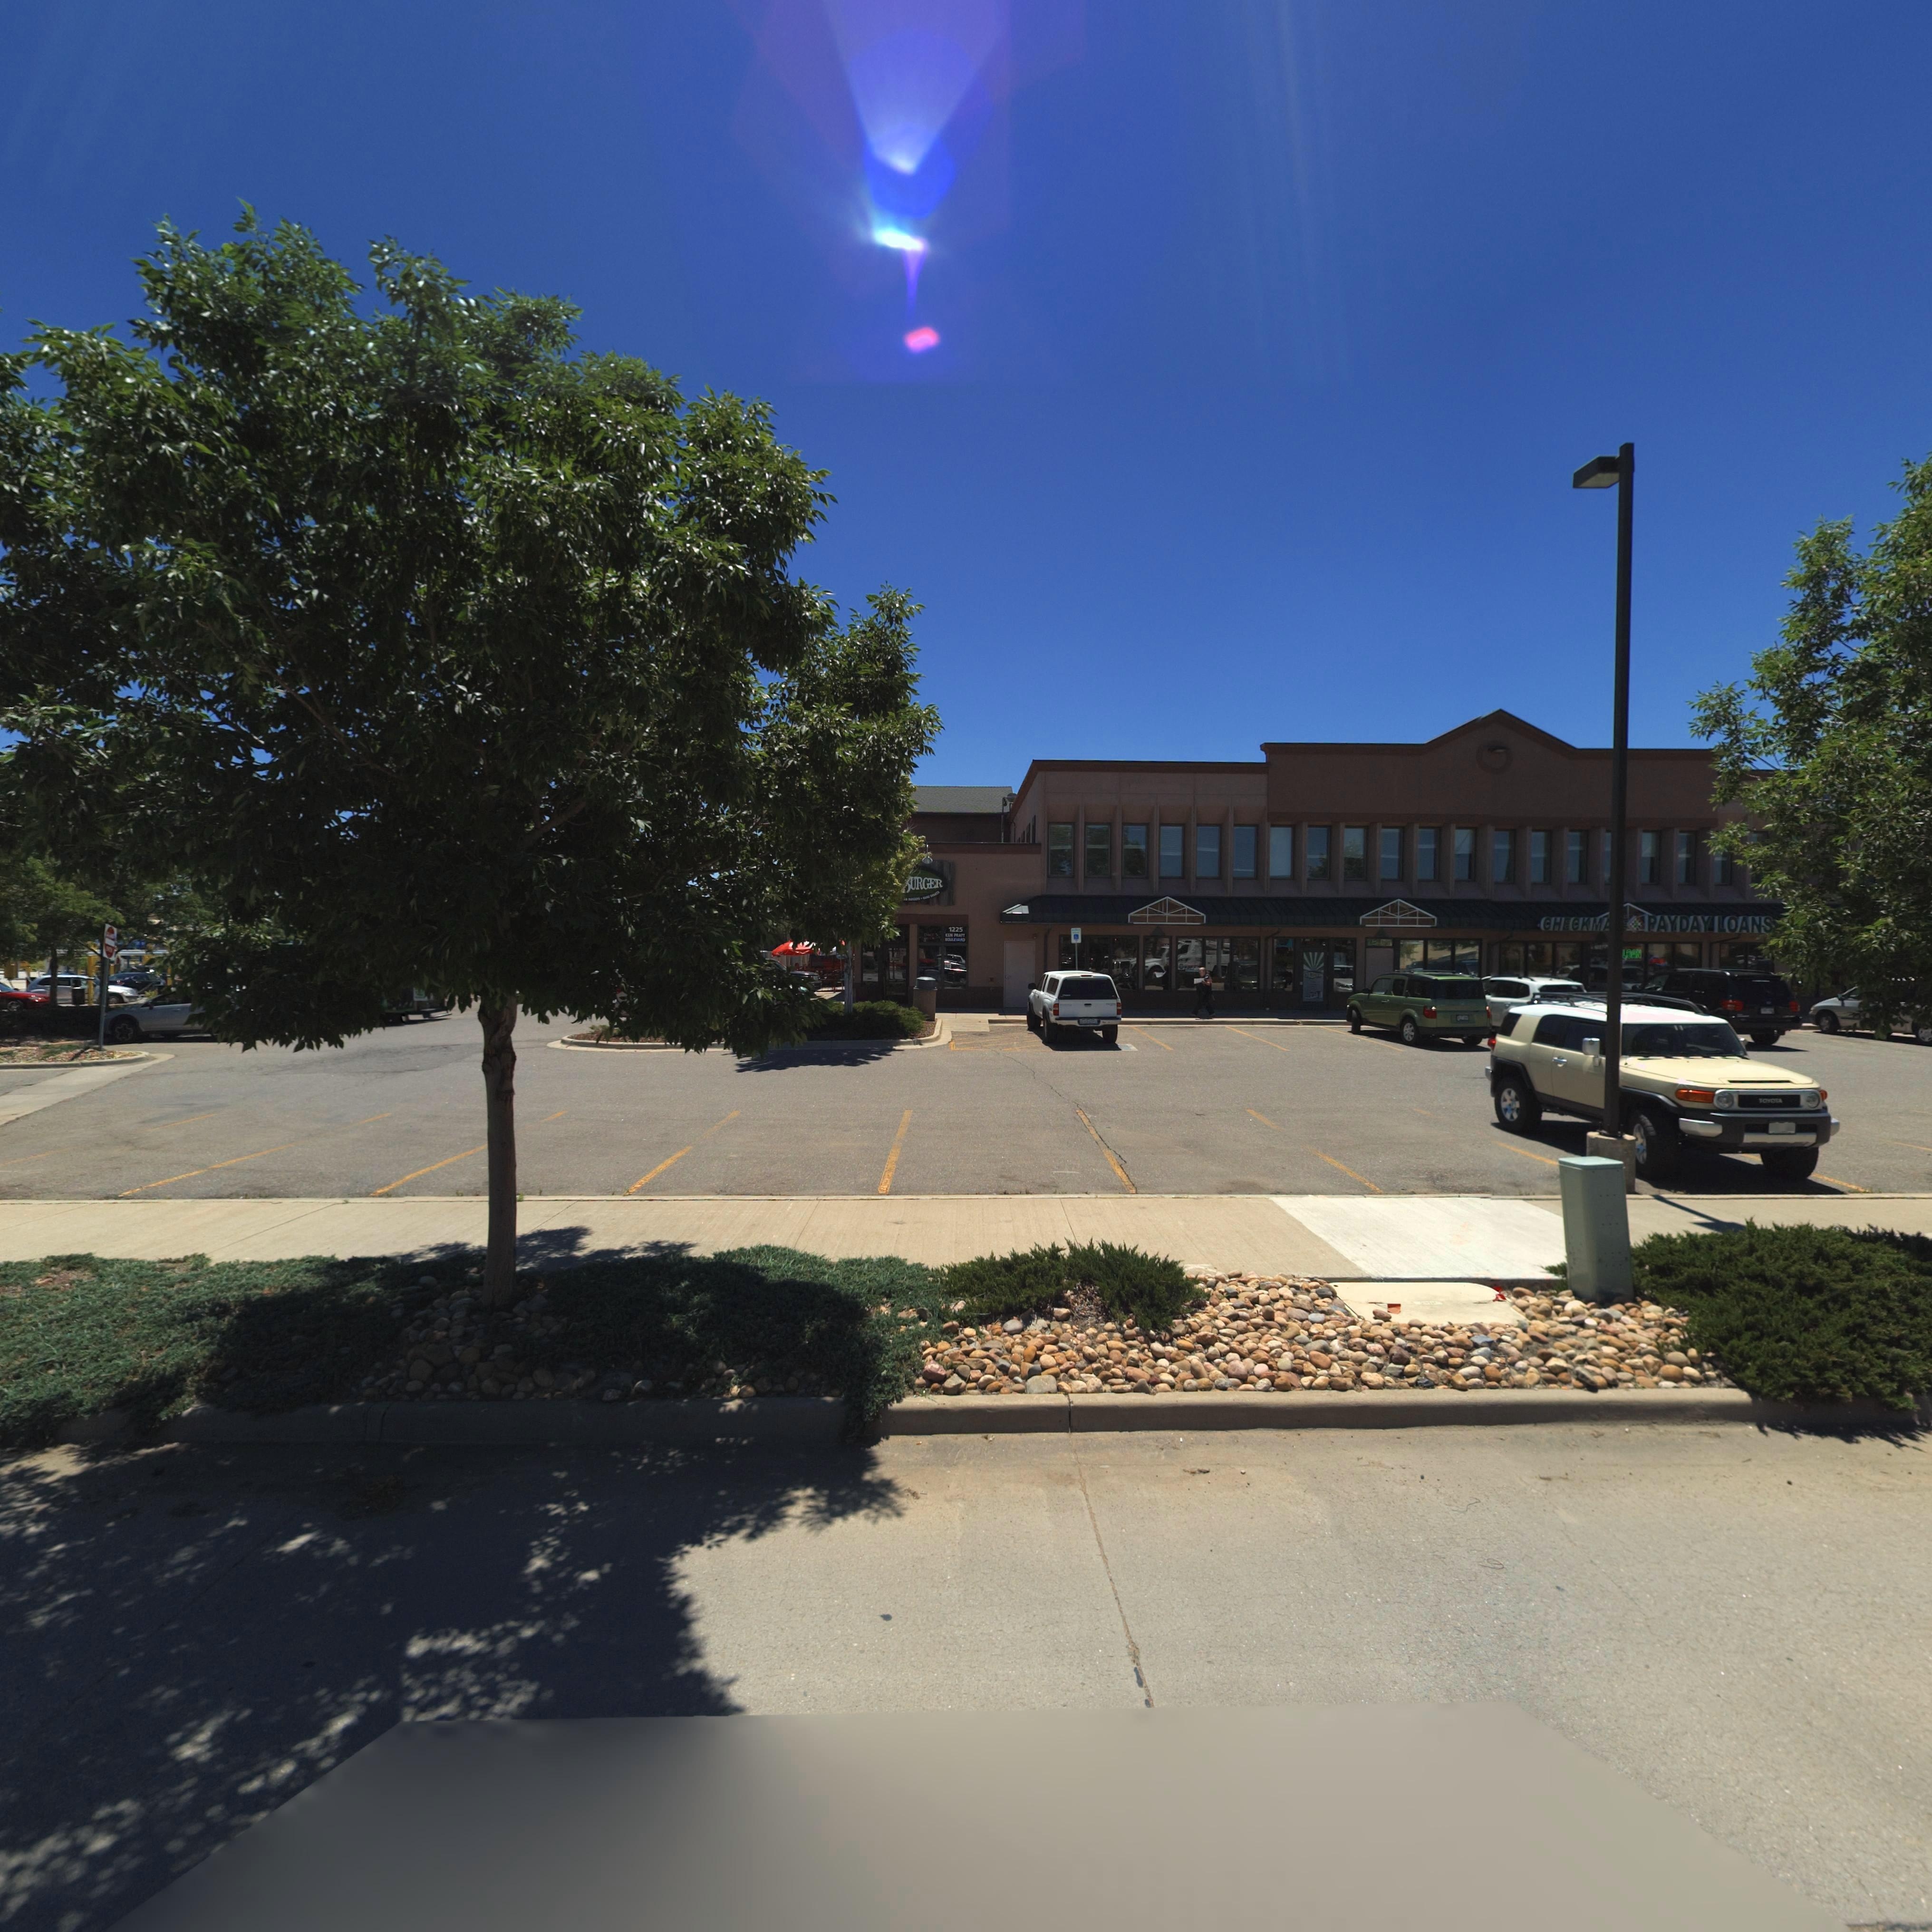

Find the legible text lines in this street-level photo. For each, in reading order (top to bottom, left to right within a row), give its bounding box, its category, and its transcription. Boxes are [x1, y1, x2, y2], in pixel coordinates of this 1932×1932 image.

[901, 873, 943, 893] BusinessName: *URGER
[1541, 914, 1775, 935] BusinessName: CHECKM****PAYDAY LOANS